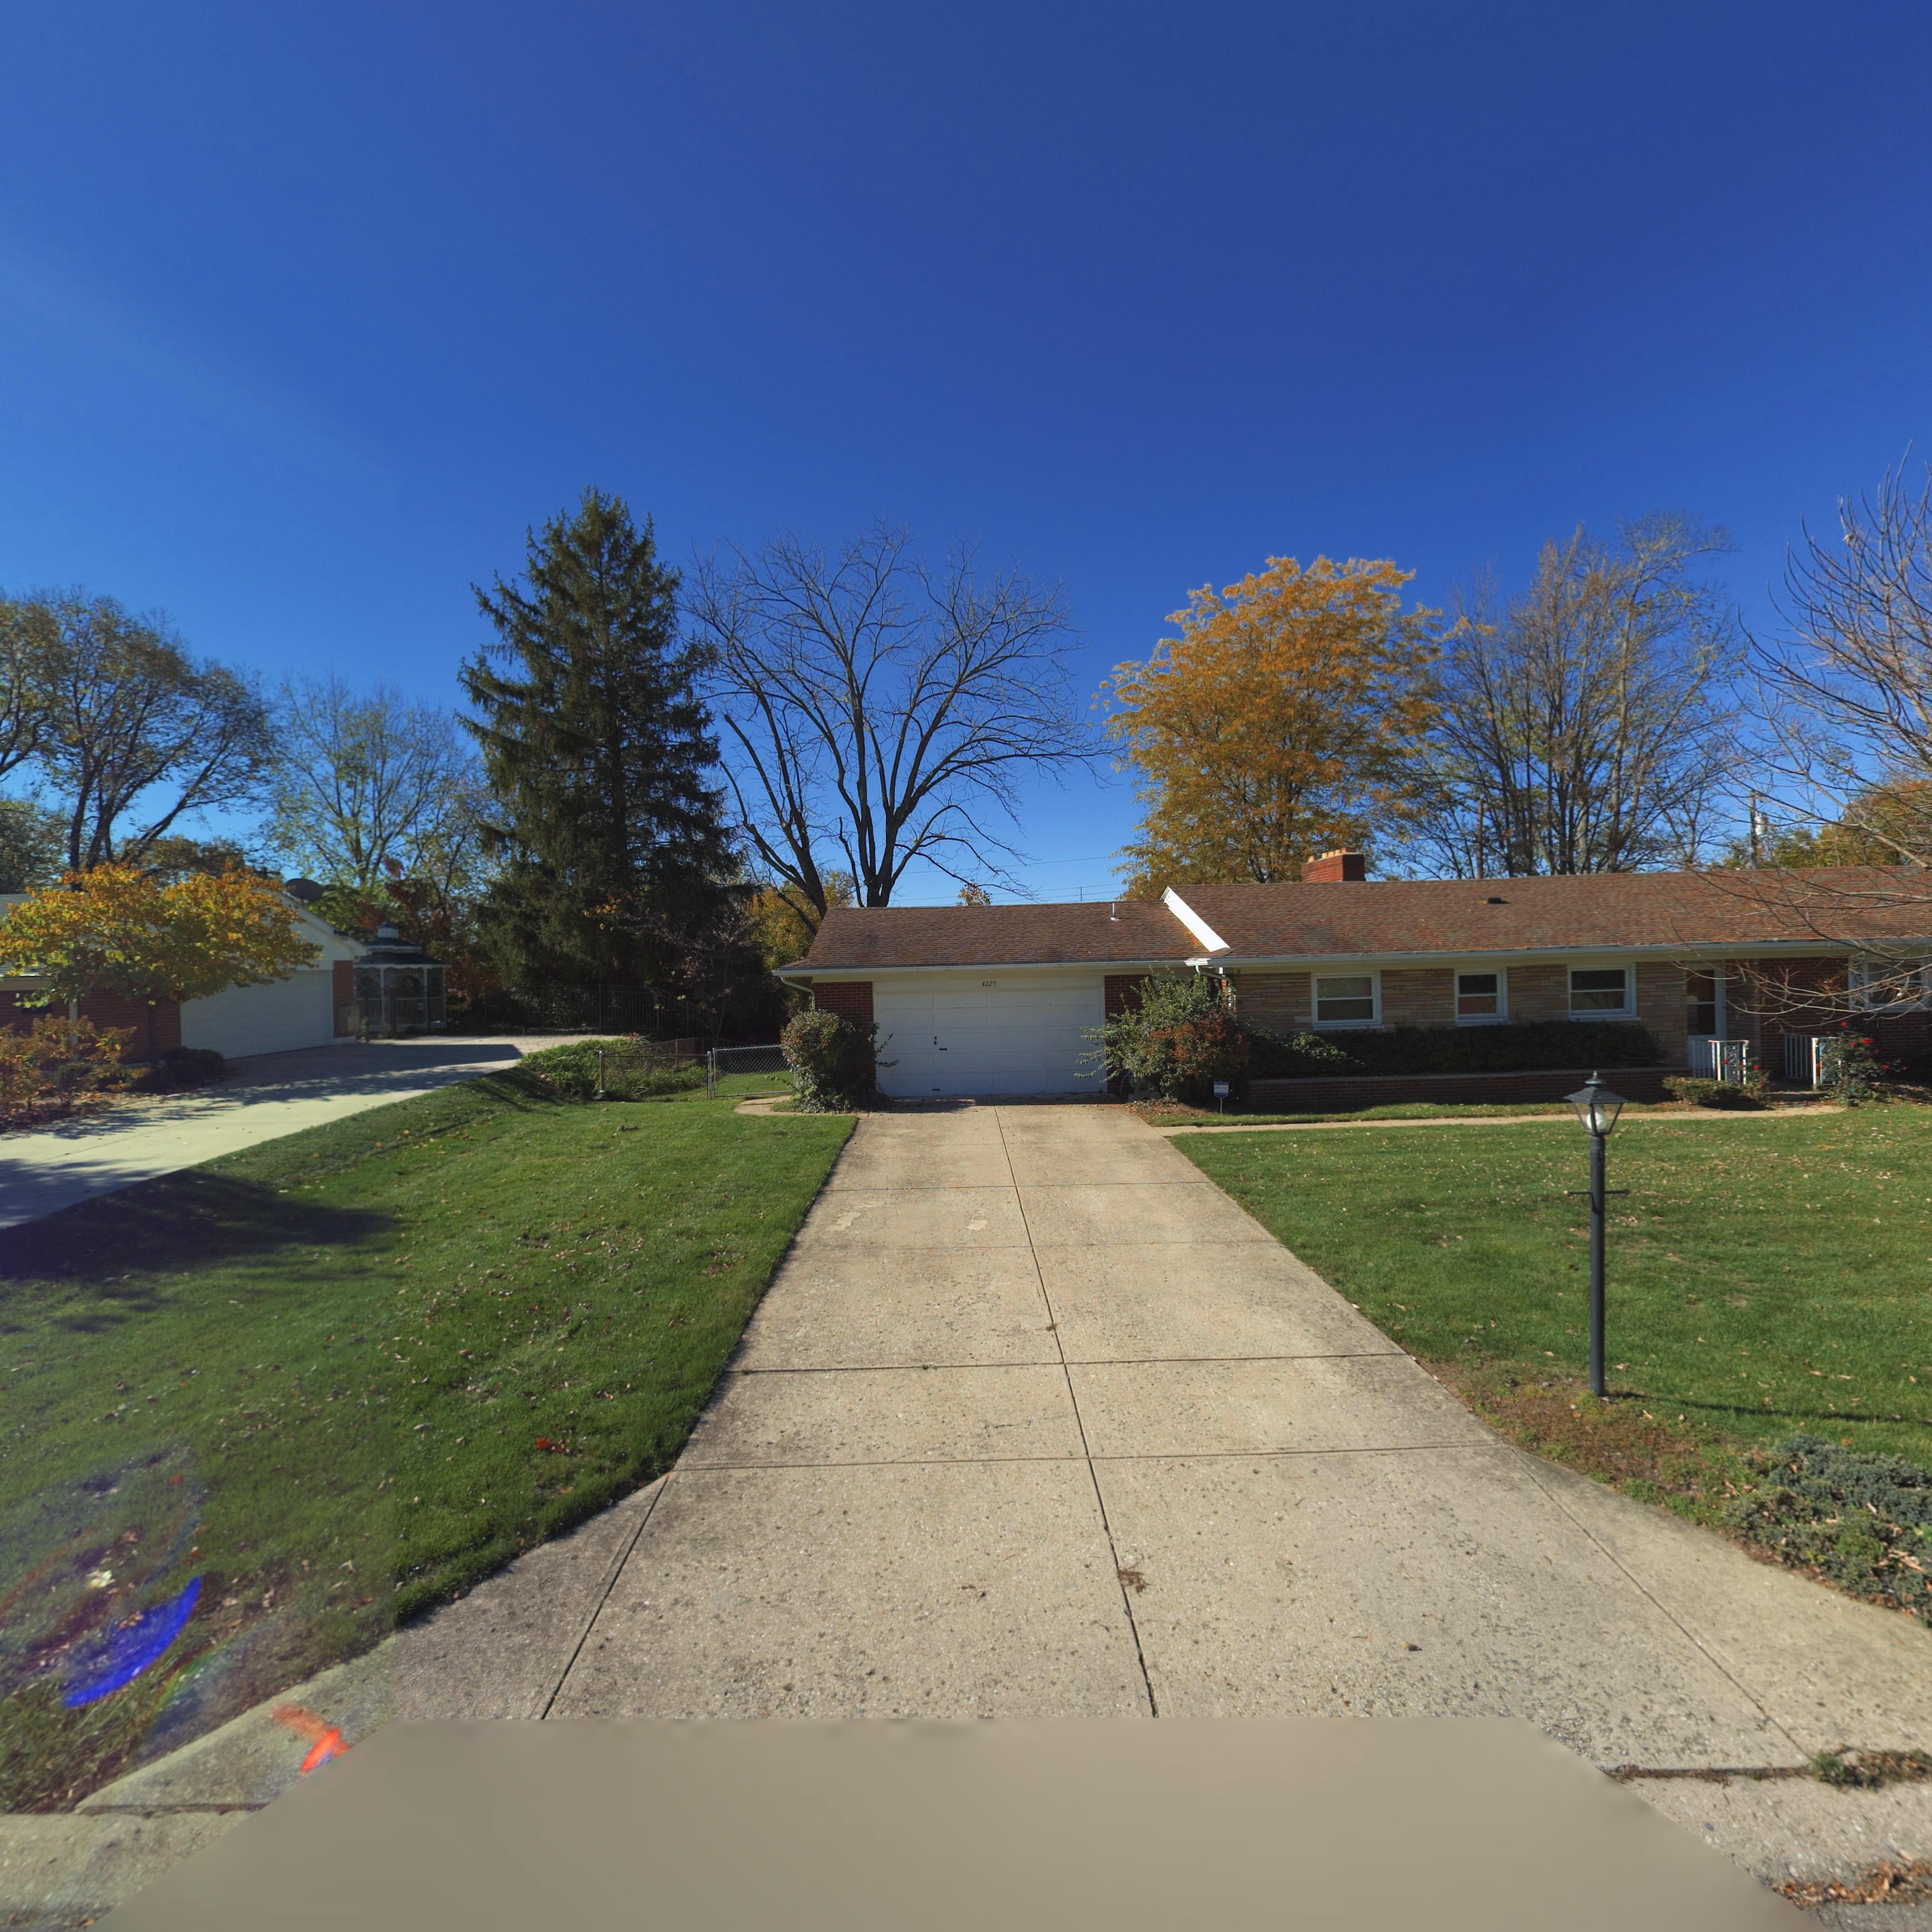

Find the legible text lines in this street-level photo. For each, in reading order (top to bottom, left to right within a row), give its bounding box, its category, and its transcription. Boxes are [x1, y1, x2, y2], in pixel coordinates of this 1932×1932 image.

[981, 980, 996, 987] StreetNumber: 4225